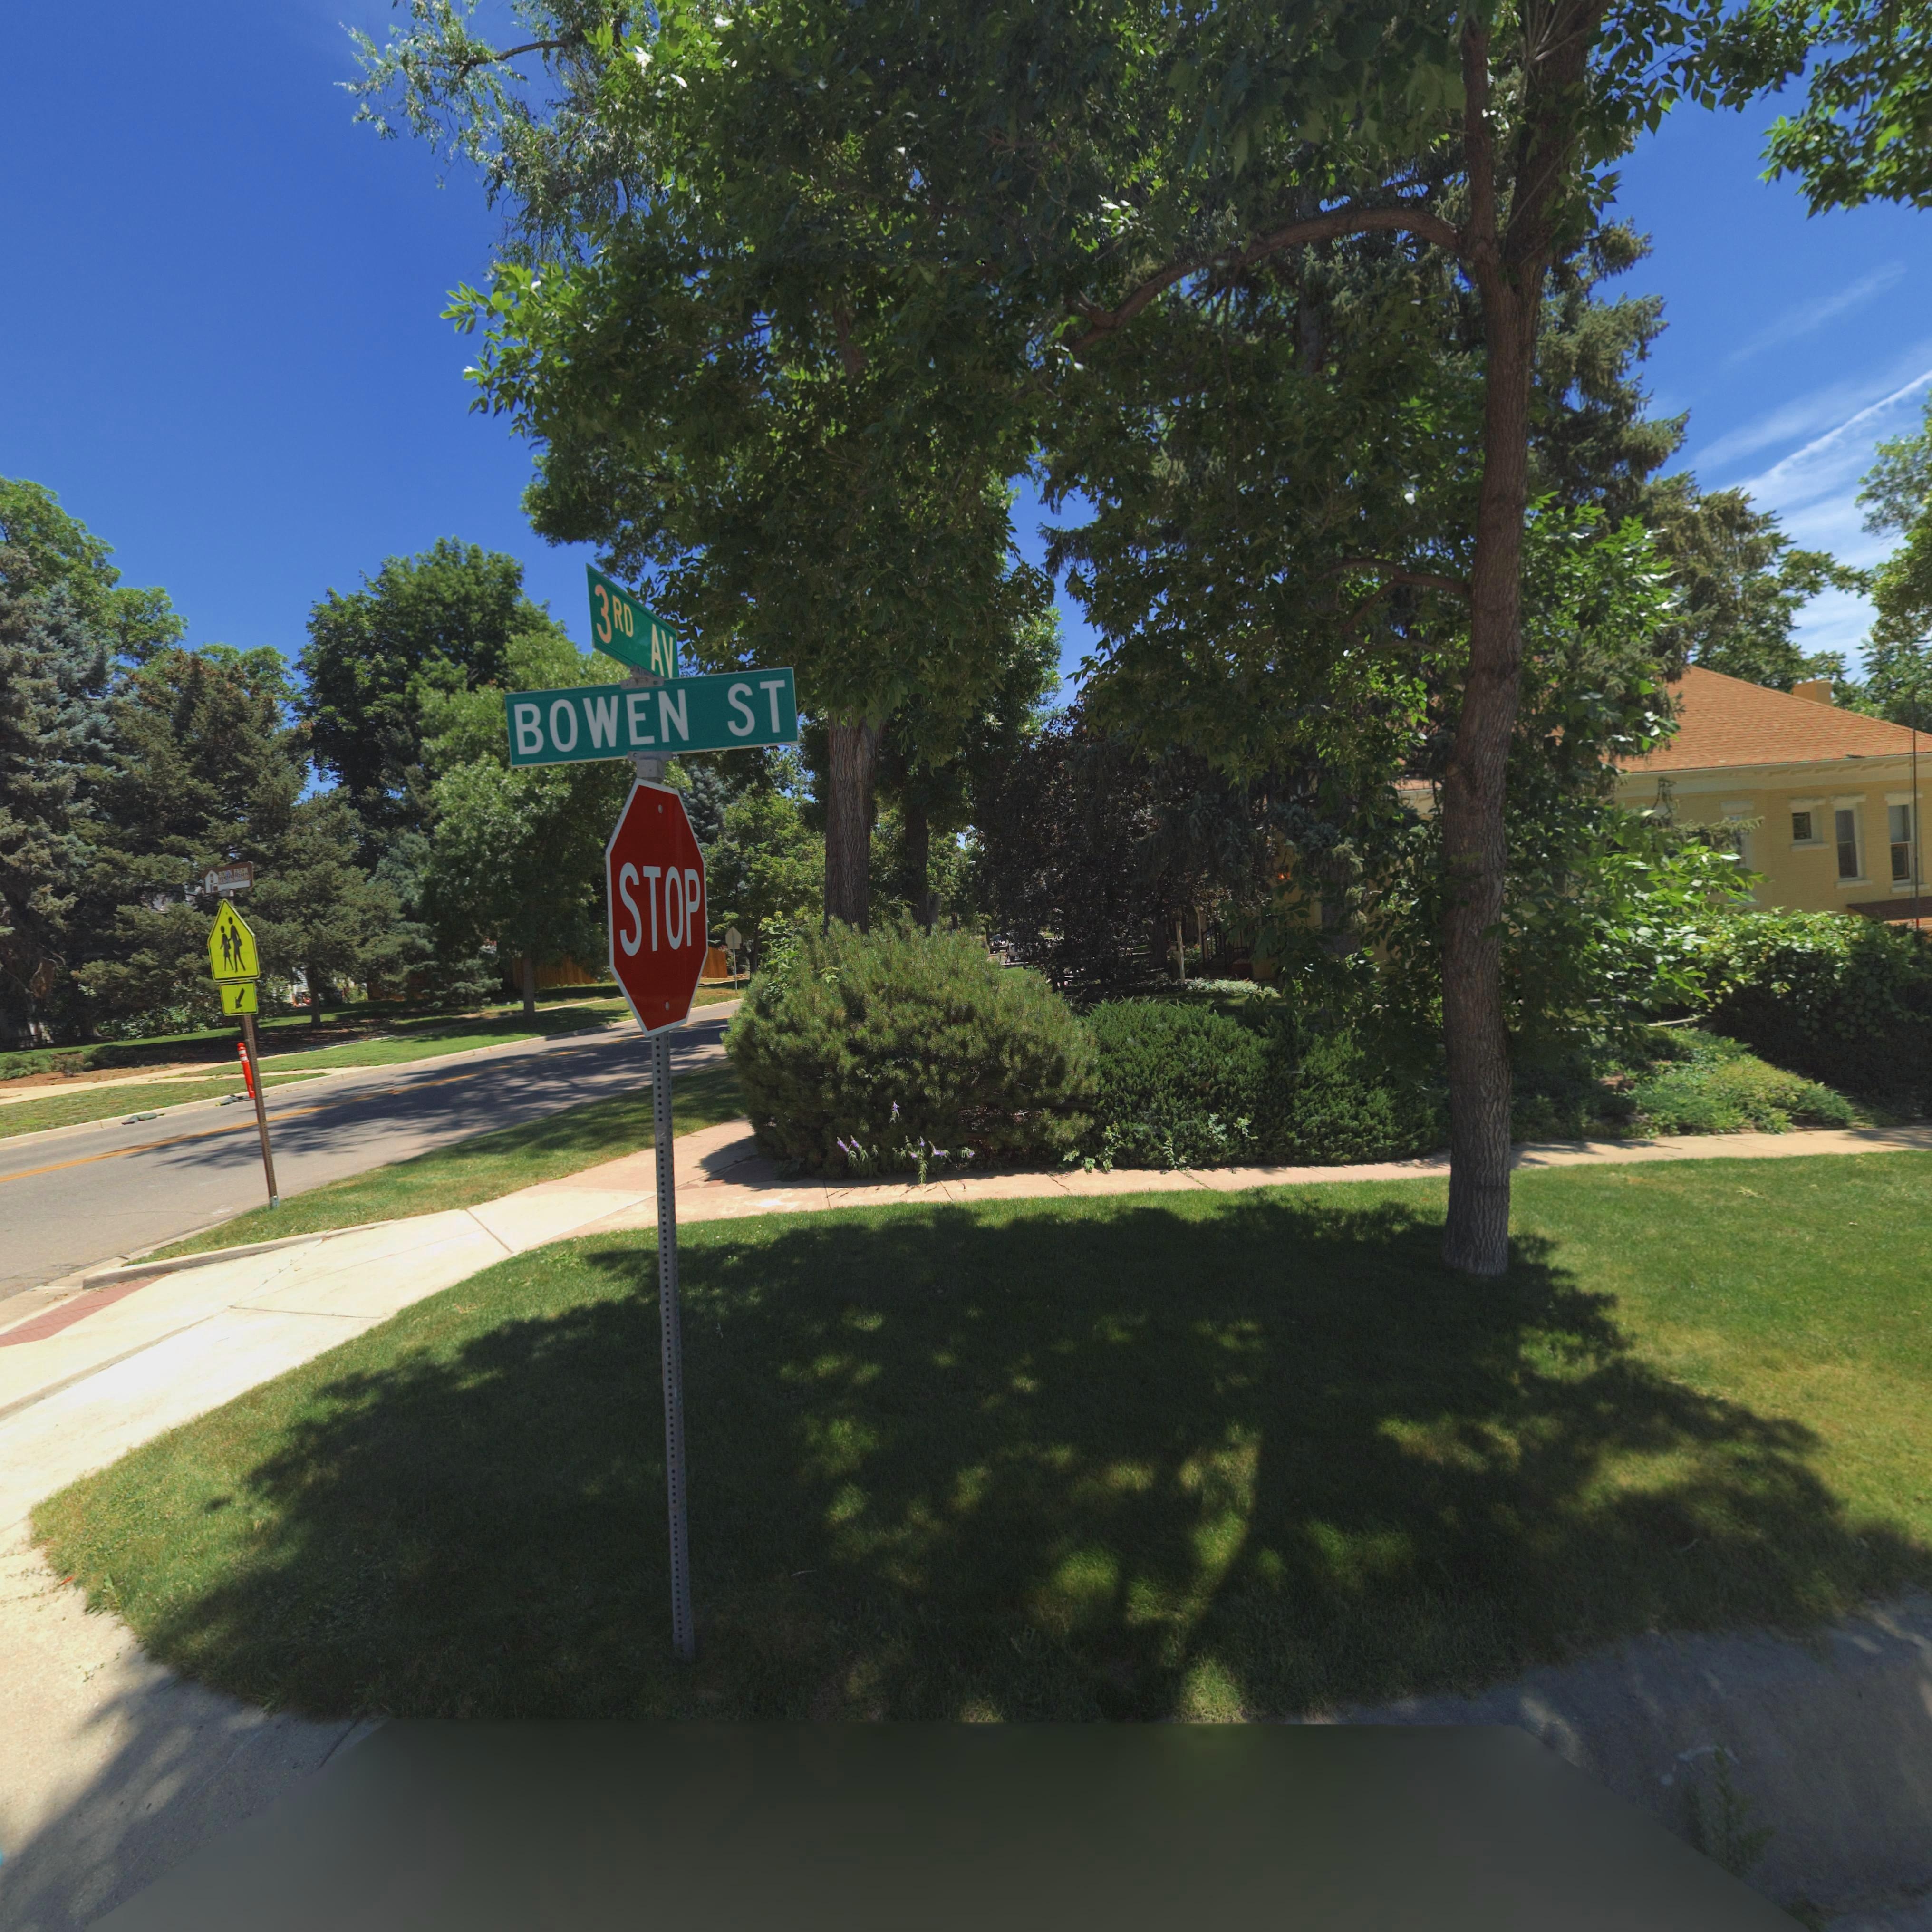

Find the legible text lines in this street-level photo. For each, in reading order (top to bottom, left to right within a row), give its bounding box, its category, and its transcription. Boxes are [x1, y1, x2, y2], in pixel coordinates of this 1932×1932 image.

[594, 583, 674, 678] StreetName: 3RD AV
[513, 679, 786, 755] StreetName: BOWEN ST